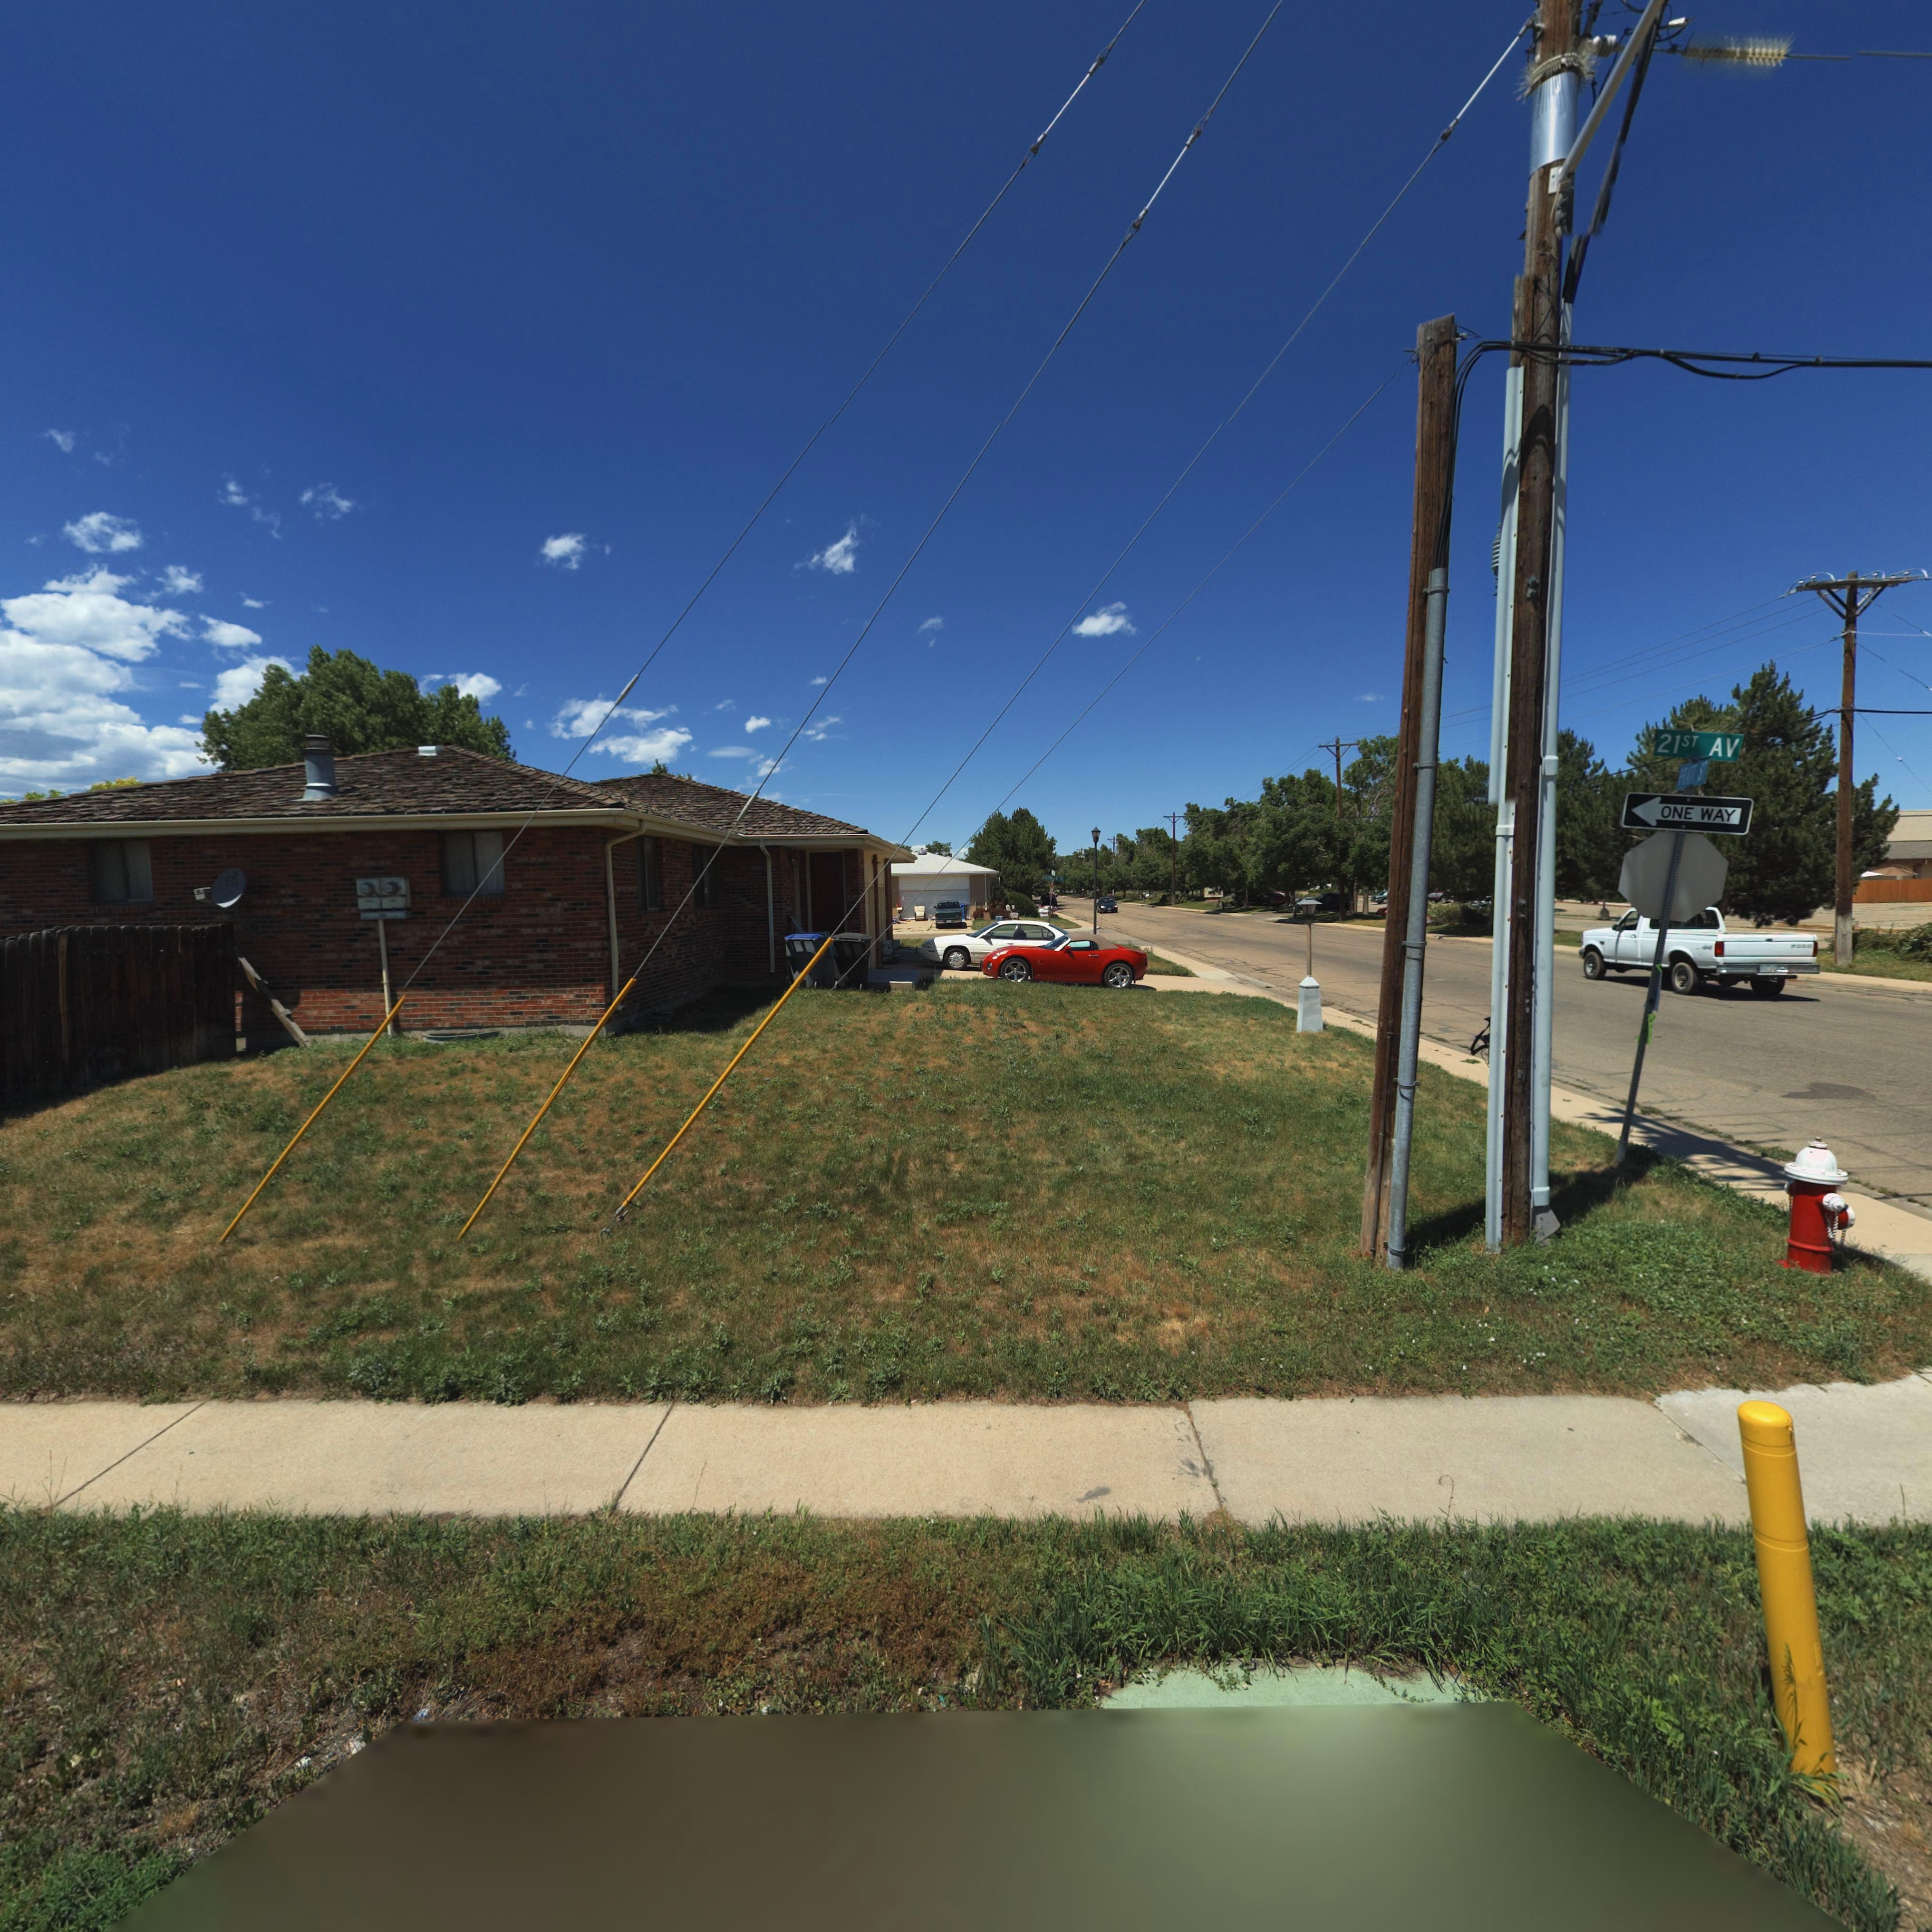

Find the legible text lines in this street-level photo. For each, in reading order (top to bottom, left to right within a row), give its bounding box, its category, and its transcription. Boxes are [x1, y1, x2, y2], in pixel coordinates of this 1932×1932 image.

[1656, 733, 1740, 758] StreetName: 21ST AV
[1677, 760, 1709, 787] StreetName: PR*TT ST
[1042, 875, 1064, 881] StreetName: ****ON P*